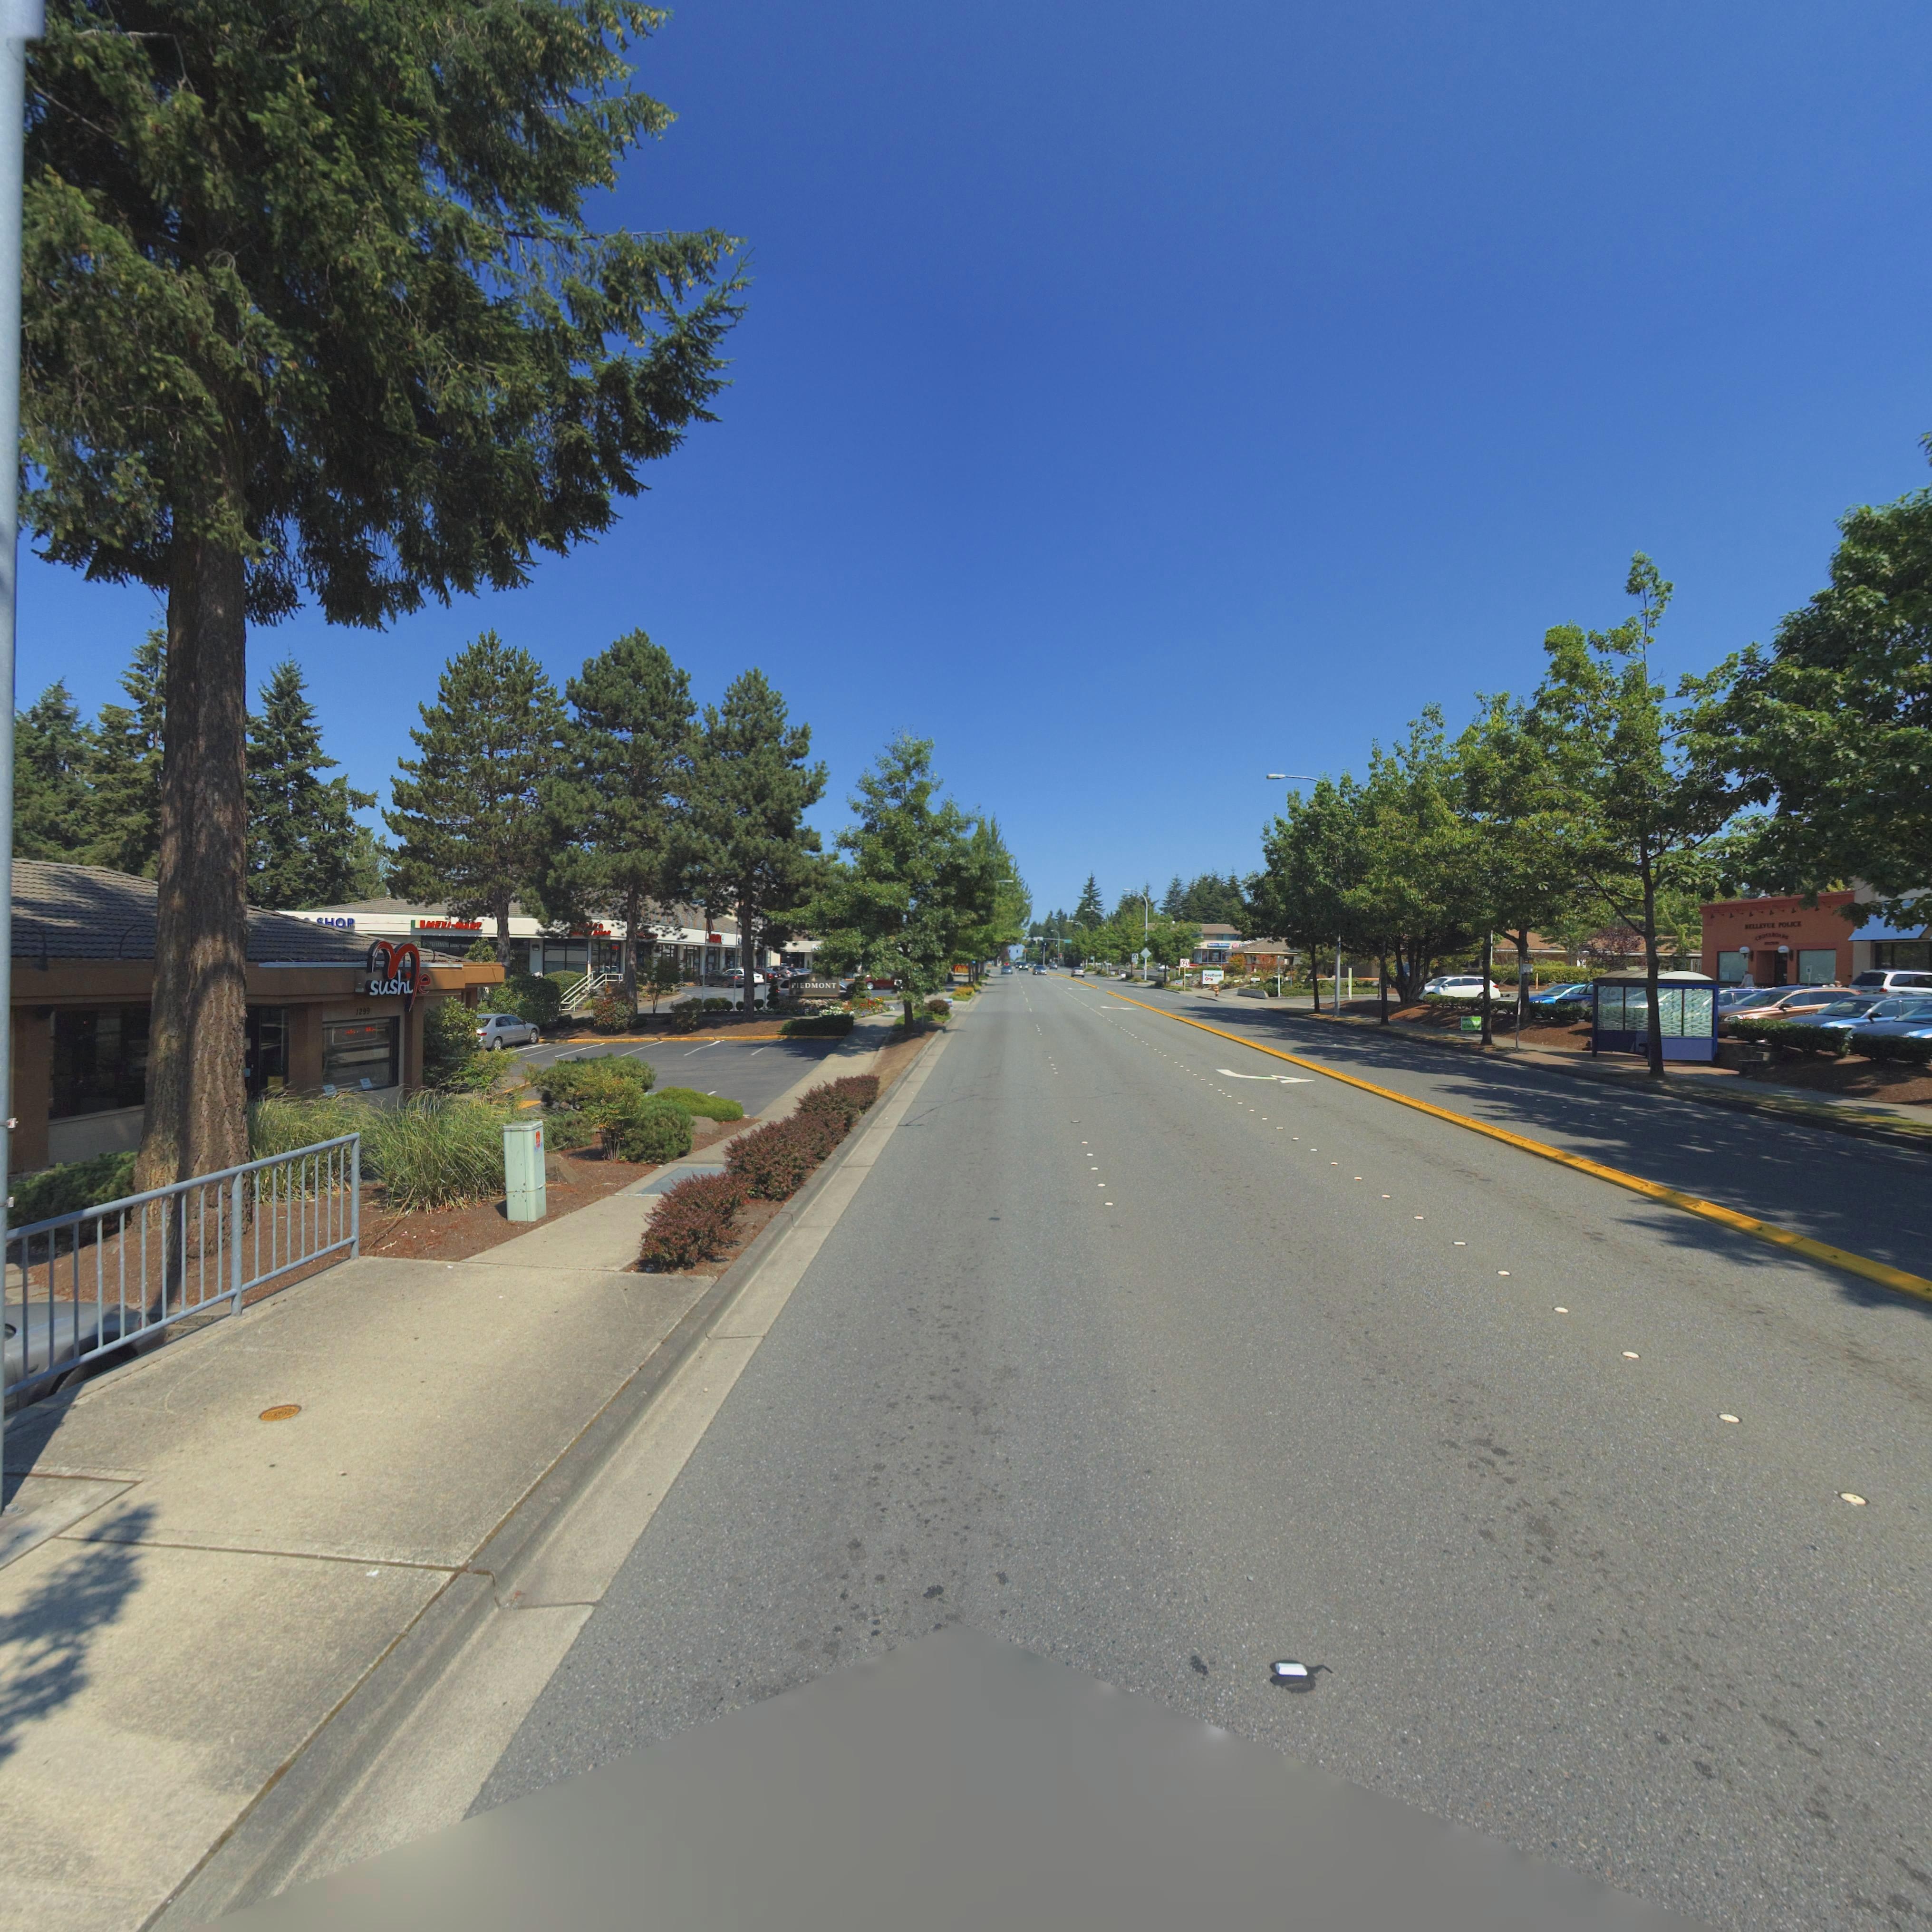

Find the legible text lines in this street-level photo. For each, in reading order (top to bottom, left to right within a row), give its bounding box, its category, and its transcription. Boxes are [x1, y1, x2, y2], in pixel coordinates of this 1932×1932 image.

[335, 917, 354, 928] BusinessName: OP
[425, 920, 483, 929] BusinessName: MEXI*M***
[1744, 920, 1802, 929] BusinessName: BELLEVUE POLICE
[368, 974, 432, 996] BusinessName: sushi*e